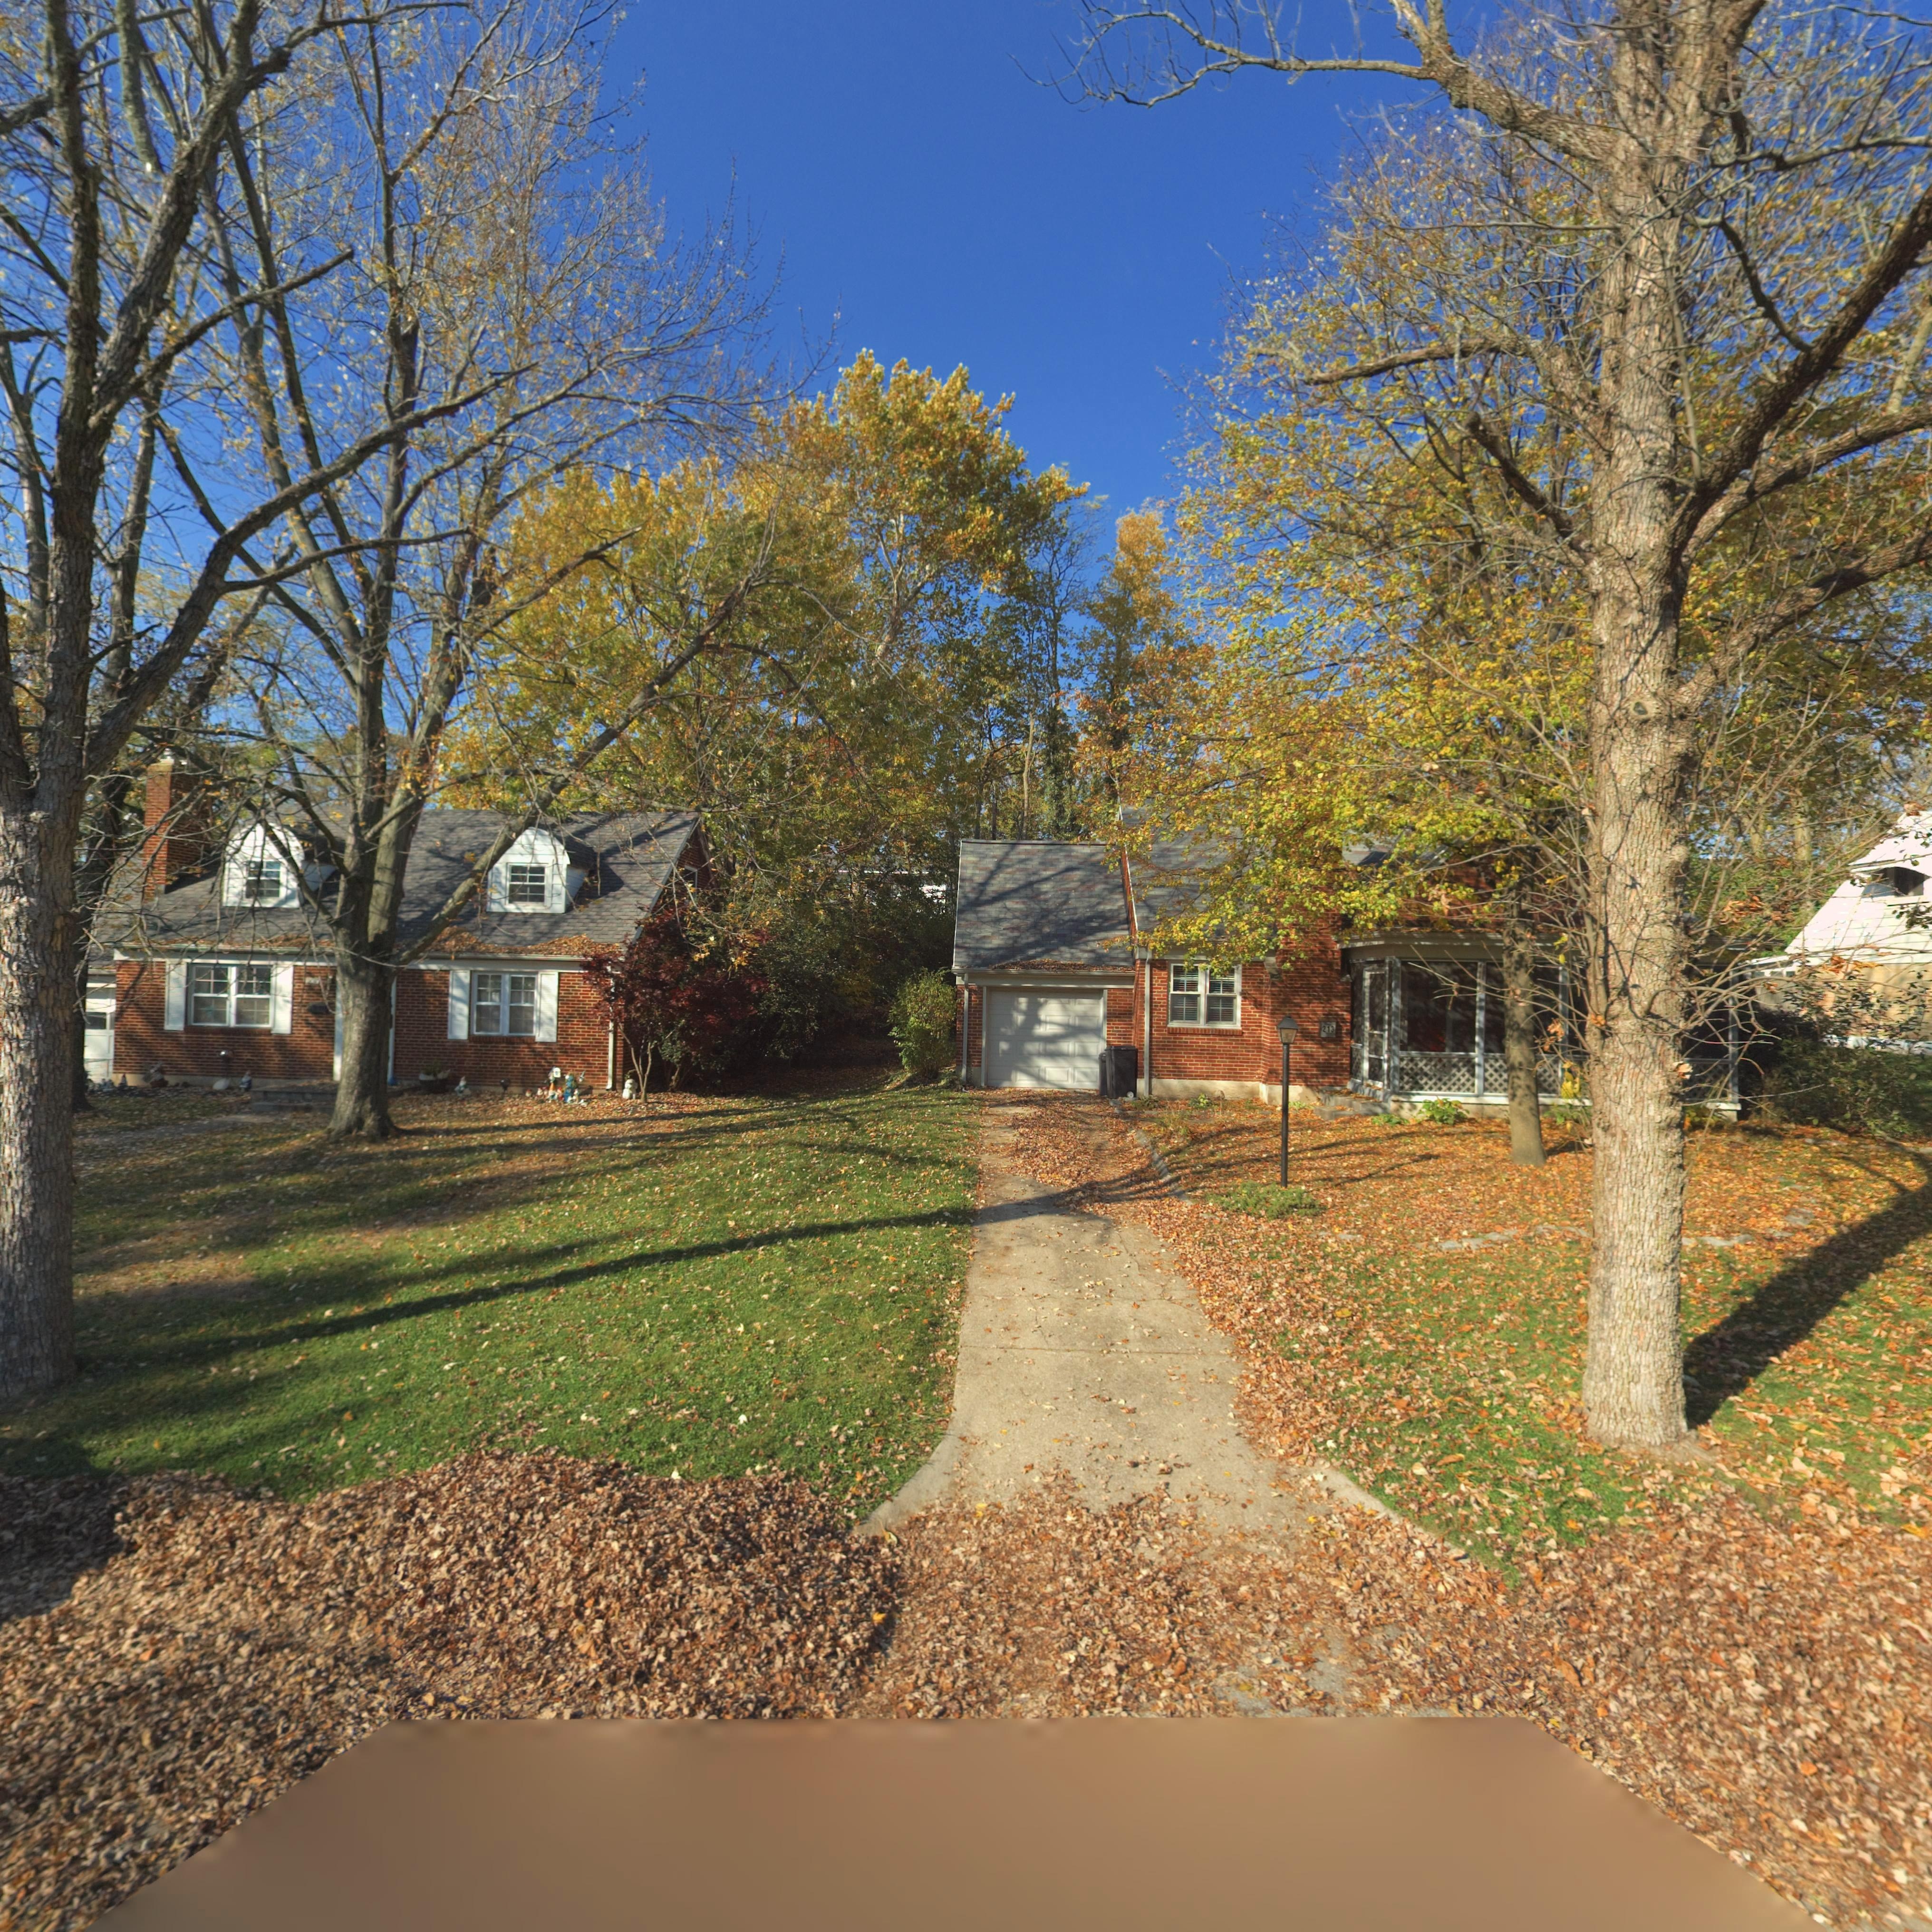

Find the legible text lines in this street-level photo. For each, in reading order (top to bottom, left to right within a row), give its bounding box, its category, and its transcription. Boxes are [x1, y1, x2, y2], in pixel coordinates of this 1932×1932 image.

[1322, 1024, 1335, 1034] StreetNumber: 213